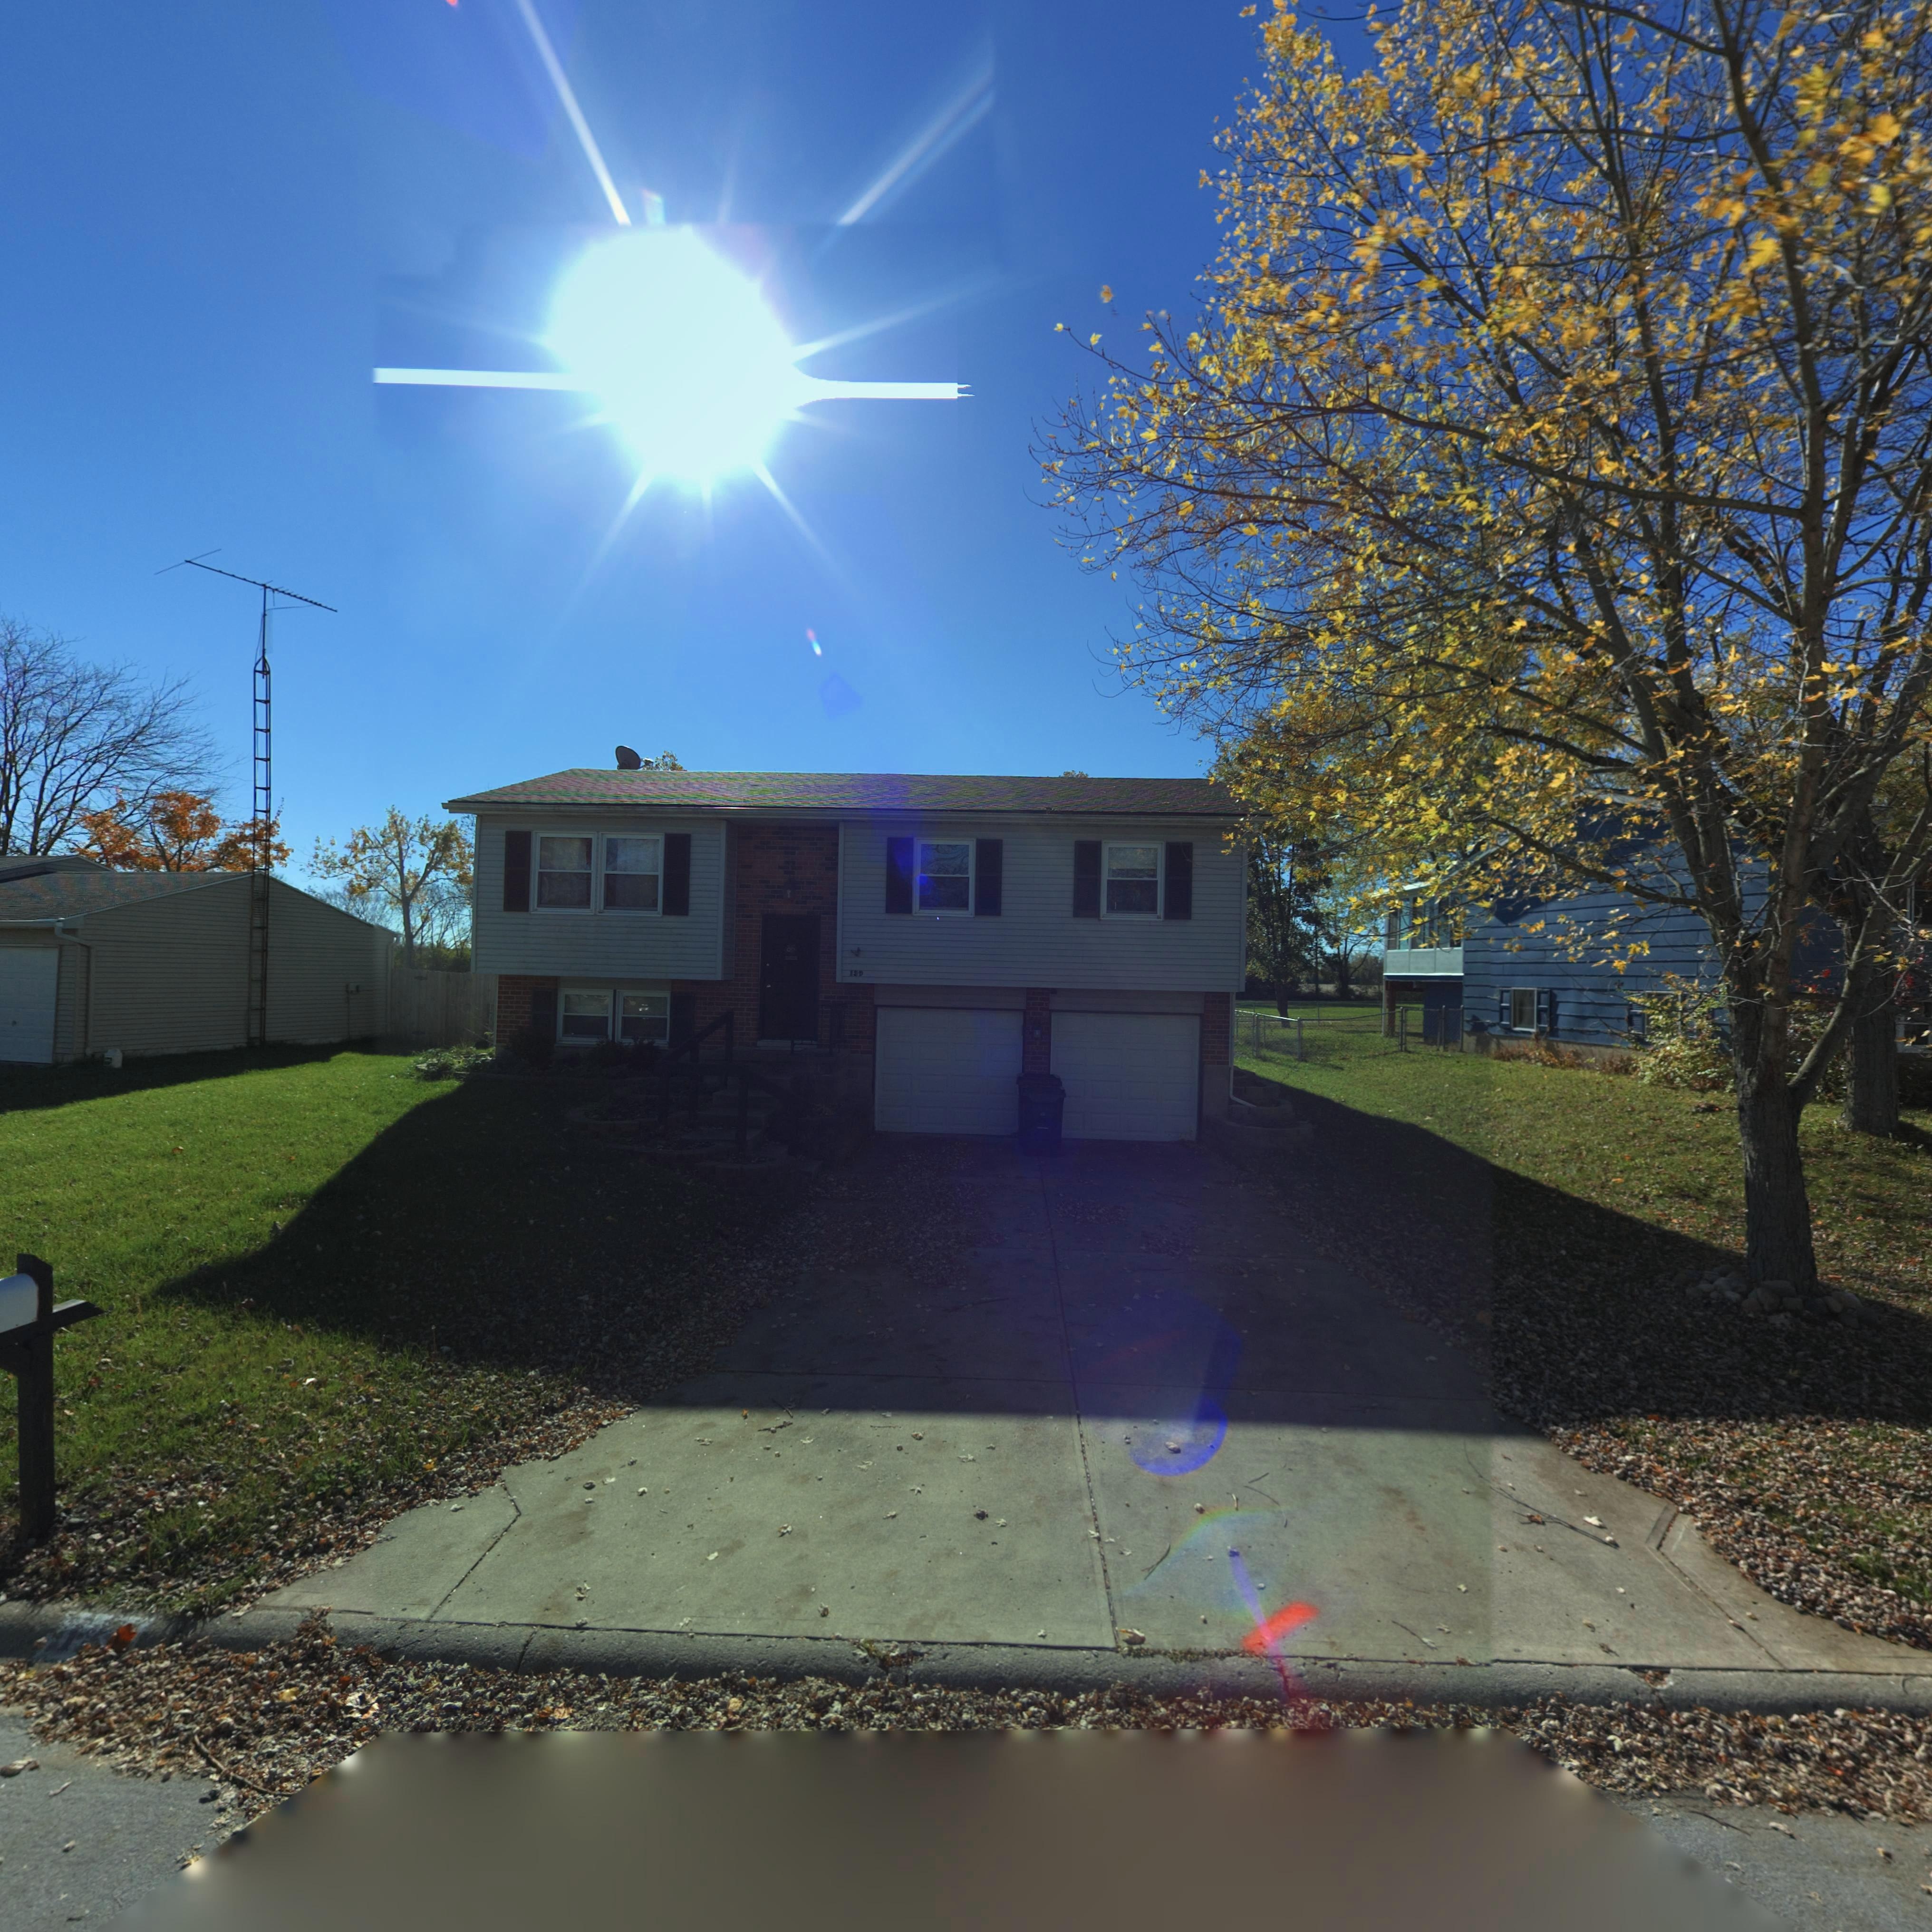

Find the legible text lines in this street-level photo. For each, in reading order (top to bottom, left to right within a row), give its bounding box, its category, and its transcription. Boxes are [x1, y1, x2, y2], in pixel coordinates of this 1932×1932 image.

[849, 969, 864, 977] StreetNumber: 1*9